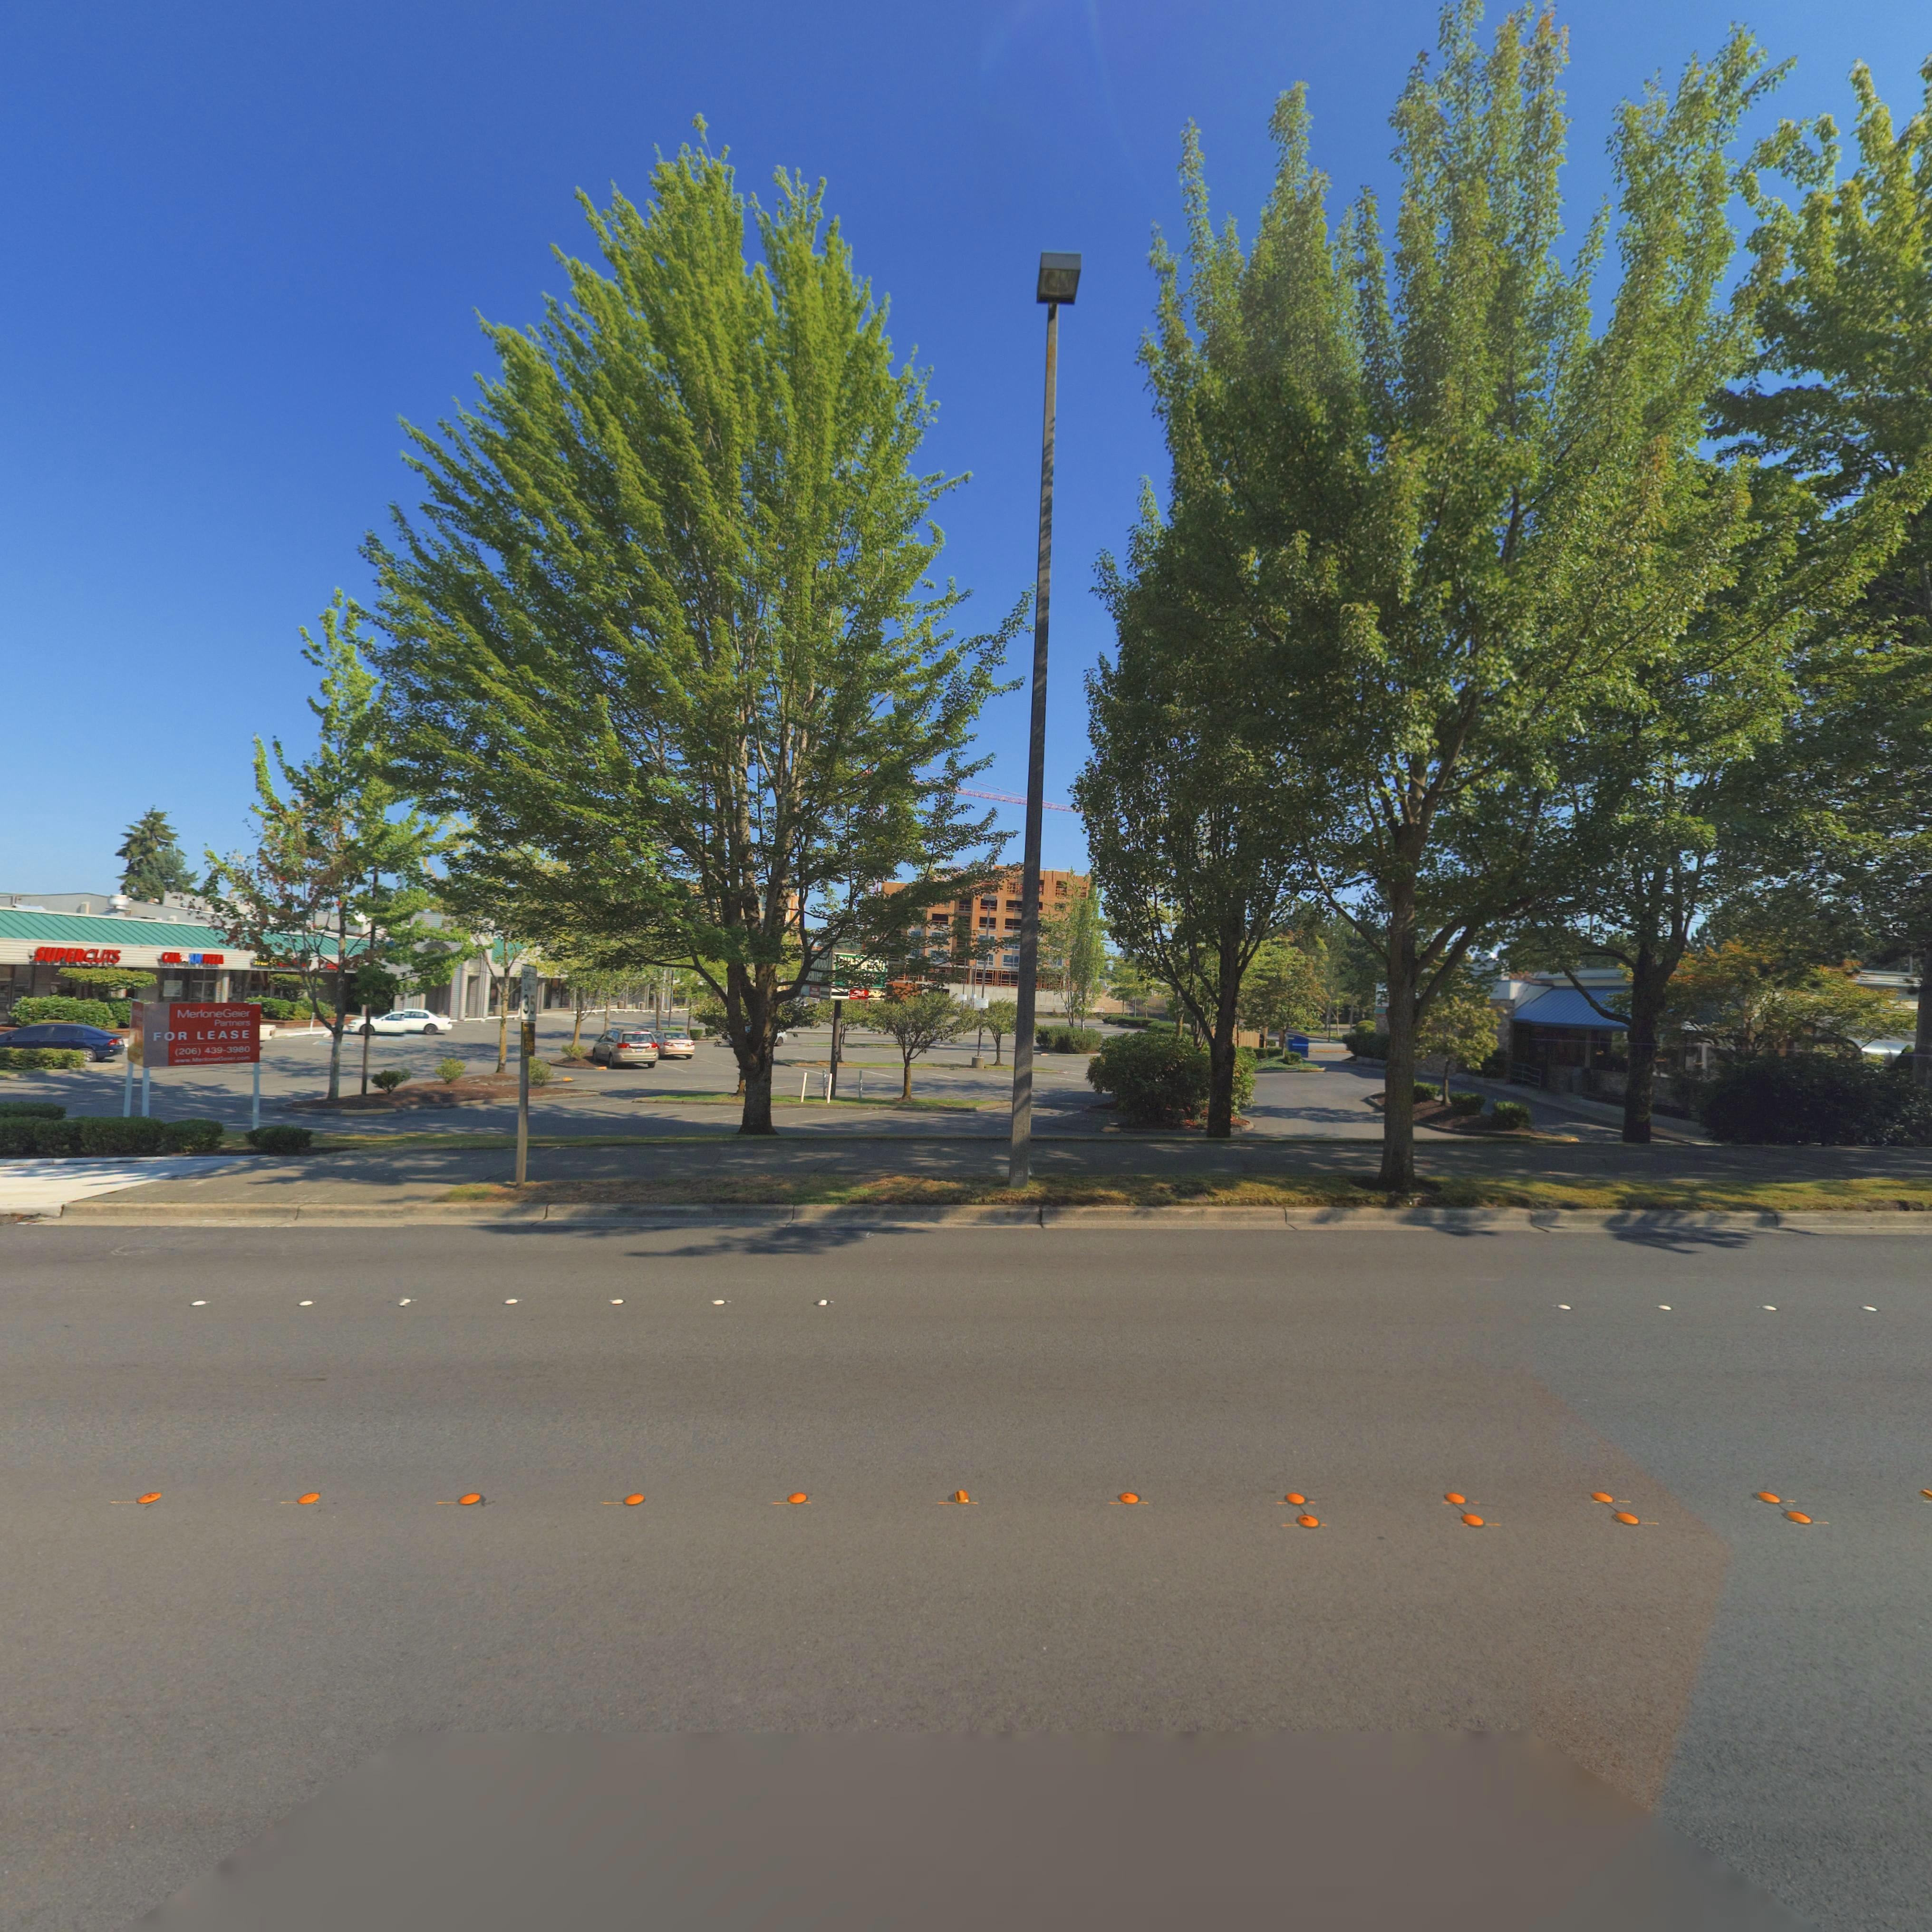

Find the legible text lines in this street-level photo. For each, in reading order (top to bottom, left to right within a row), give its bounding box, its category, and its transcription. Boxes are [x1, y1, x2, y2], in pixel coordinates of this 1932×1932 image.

[32, 946, 122, 964] BusinessName: SUPERCUTS